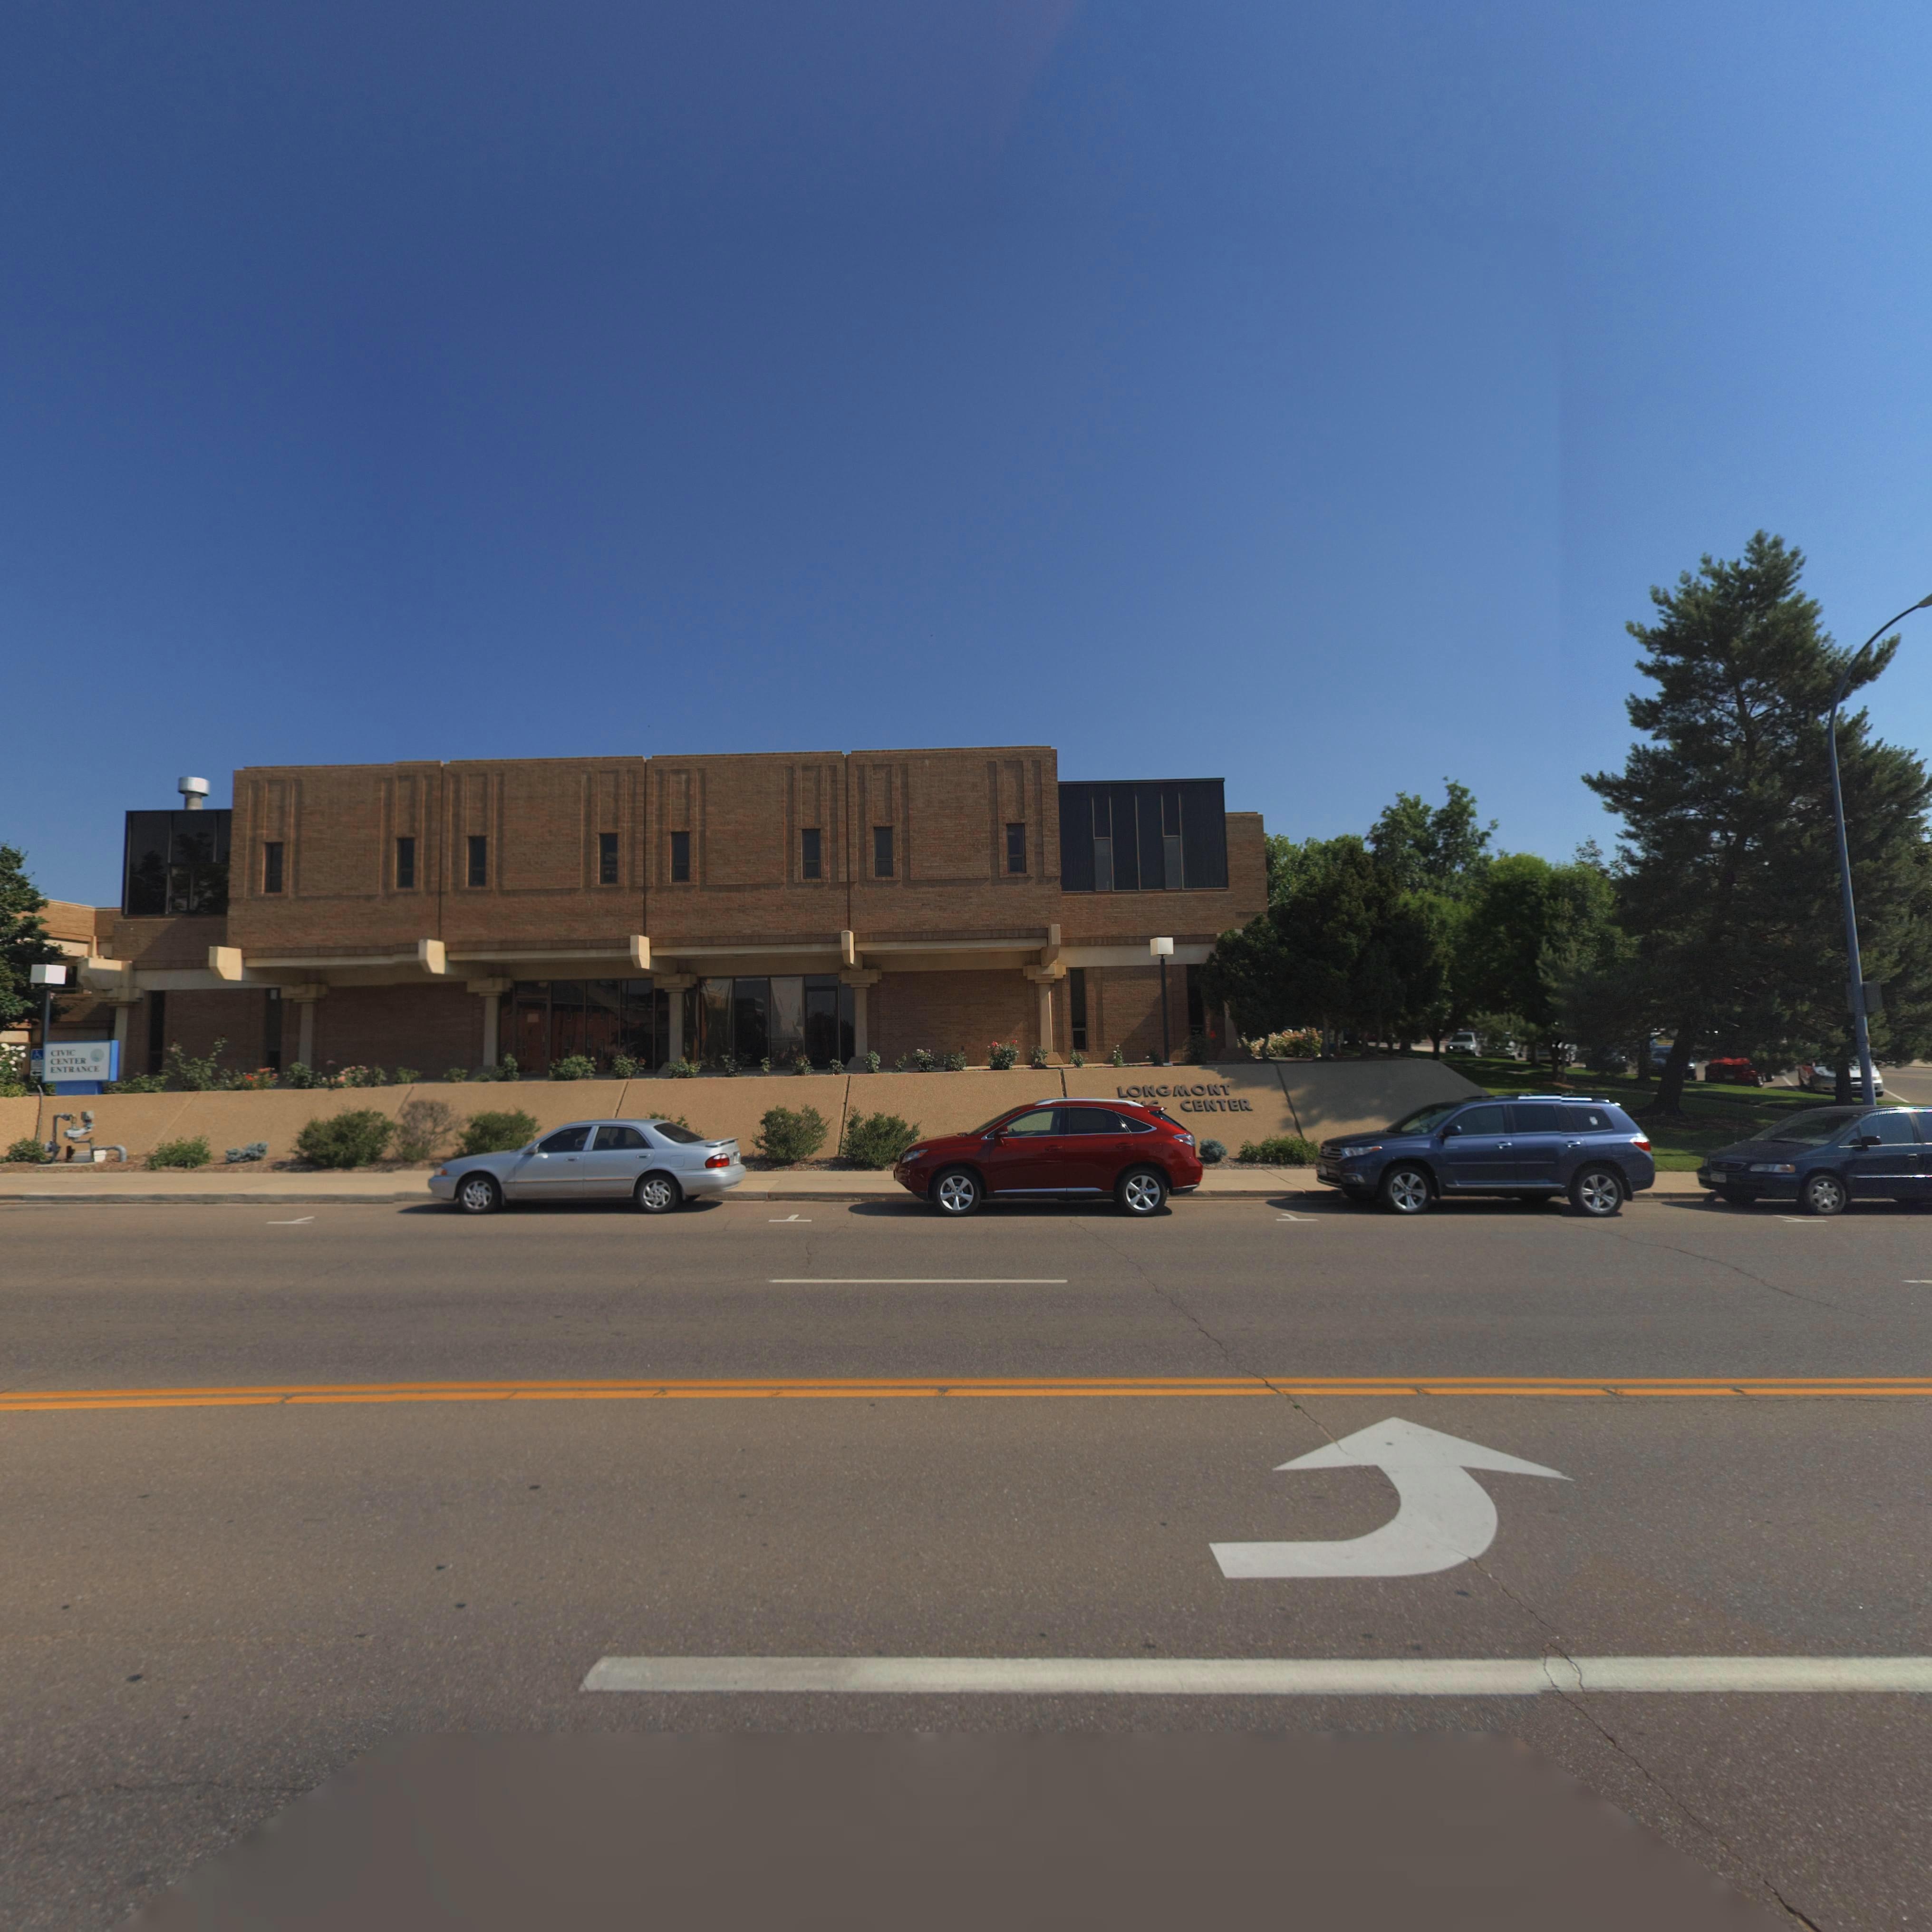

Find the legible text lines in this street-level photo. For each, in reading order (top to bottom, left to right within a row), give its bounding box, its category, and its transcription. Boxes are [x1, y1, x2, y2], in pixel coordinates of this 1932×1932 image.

[1118, 1083, 1230, 1097] BusinessName: LONGMONT
[1181, 1098, 1253, 1111] BusinessName: CENTER